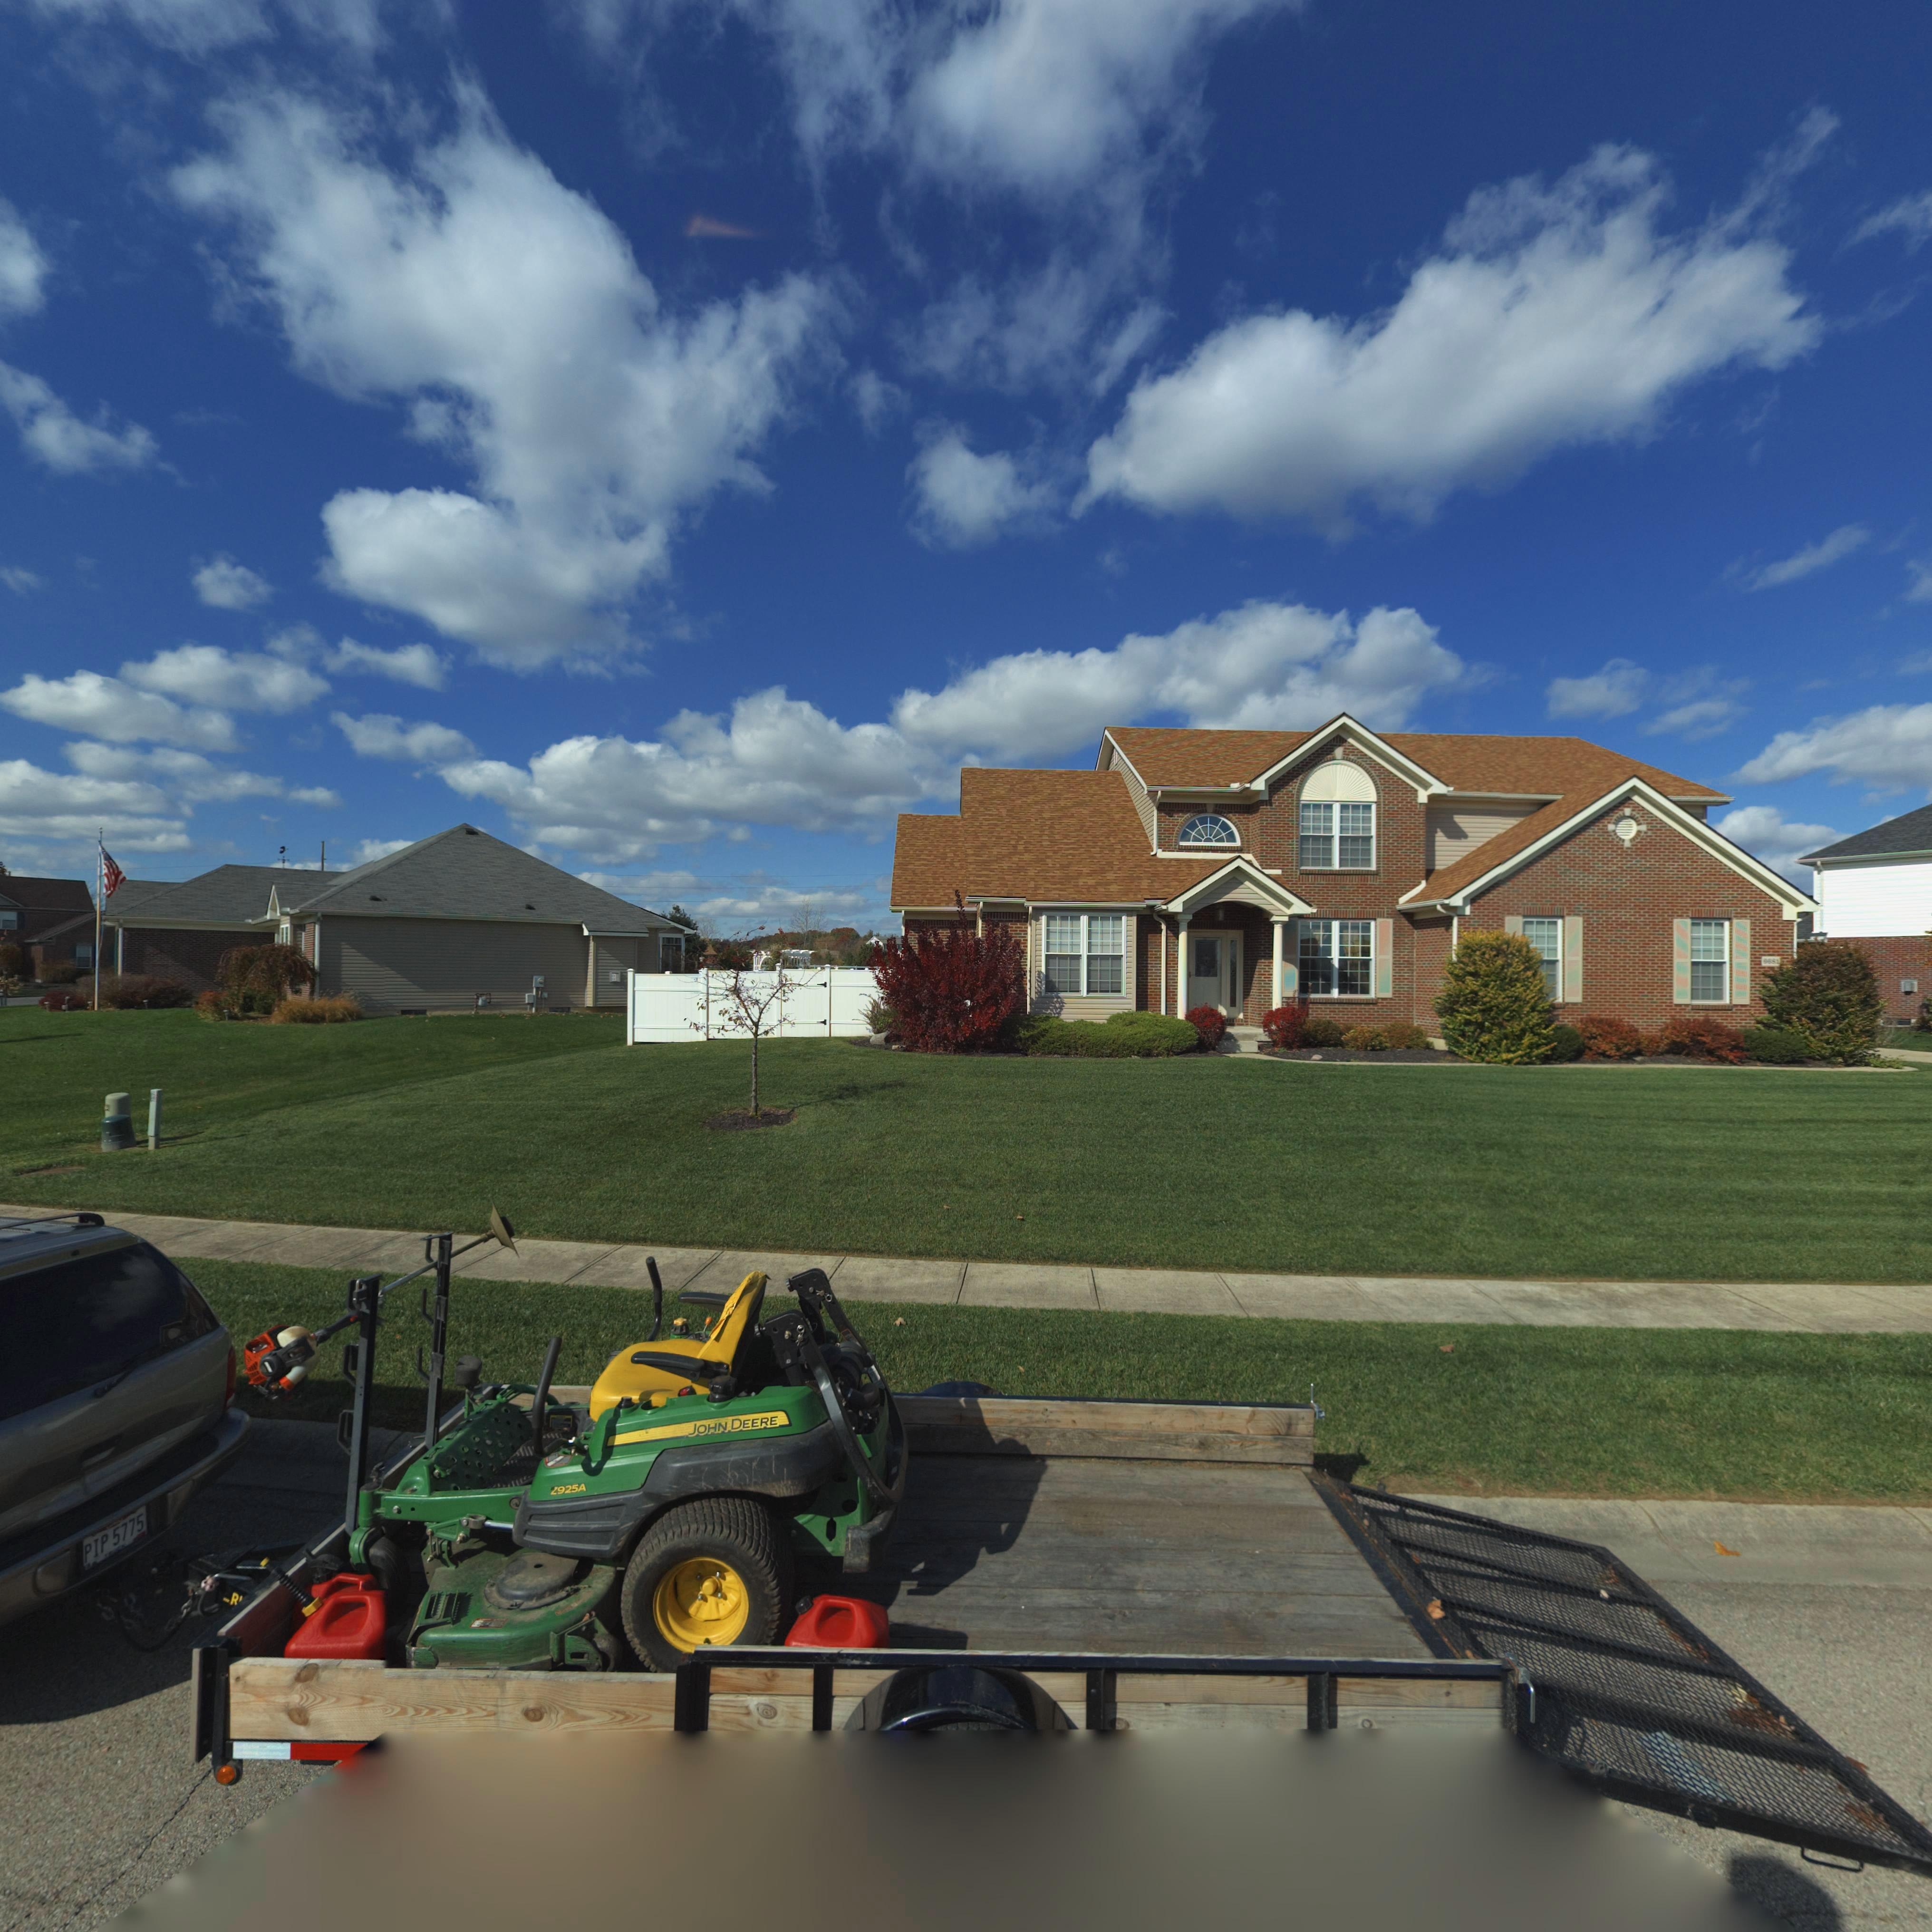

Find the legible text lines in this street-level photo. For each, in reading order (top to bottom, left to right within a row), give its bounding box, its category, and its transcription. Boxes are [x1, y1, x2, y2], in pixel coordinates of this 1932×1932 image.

[1762, 958, 1780, 965] StreetNumber: **81